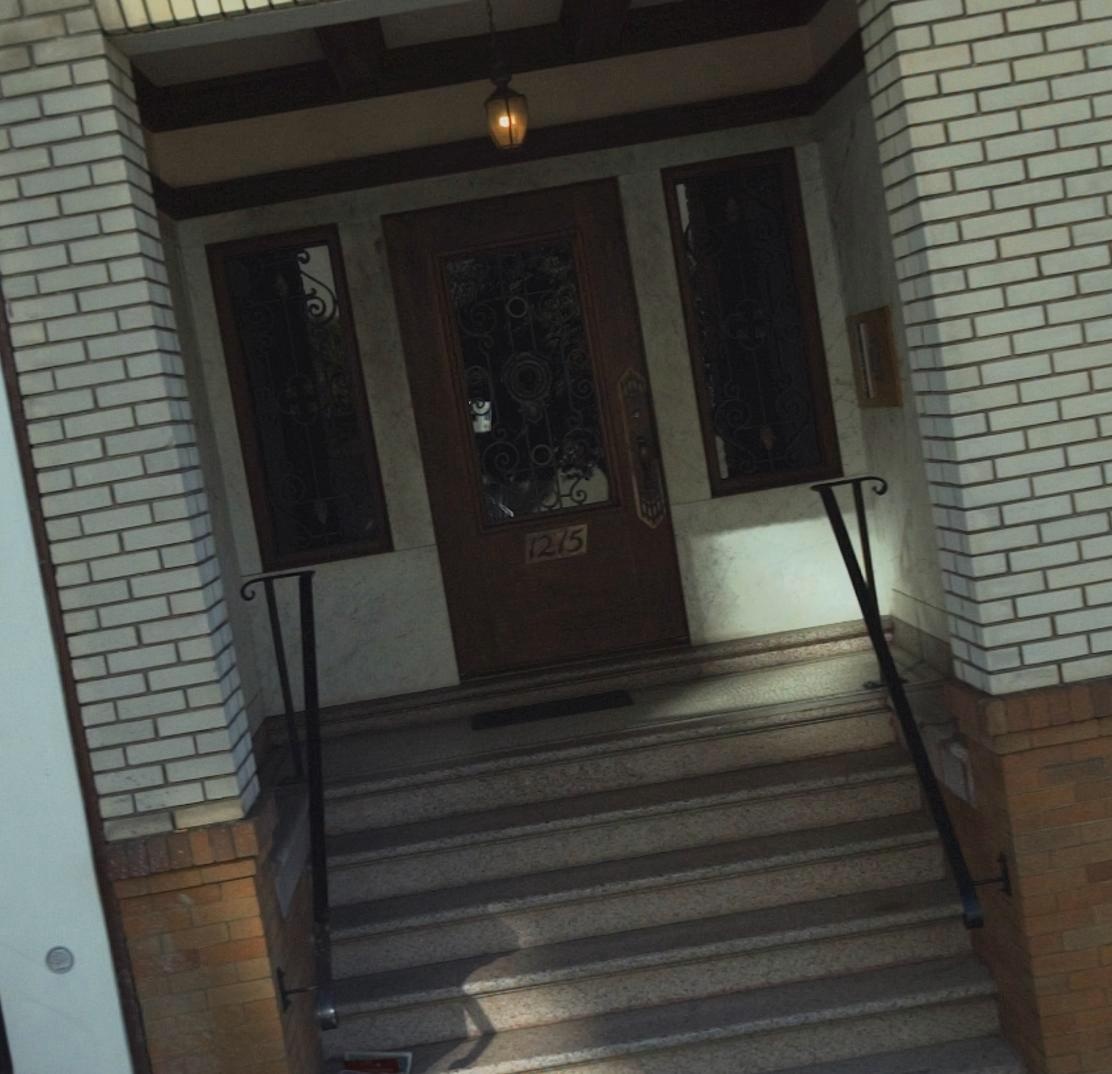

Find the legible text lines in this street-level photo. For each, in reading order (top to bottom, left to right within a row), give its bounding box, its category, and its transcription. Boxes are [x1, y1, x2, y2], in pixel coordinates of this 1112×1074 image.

[526, 526, 586, 563] StreetNumber: 1275